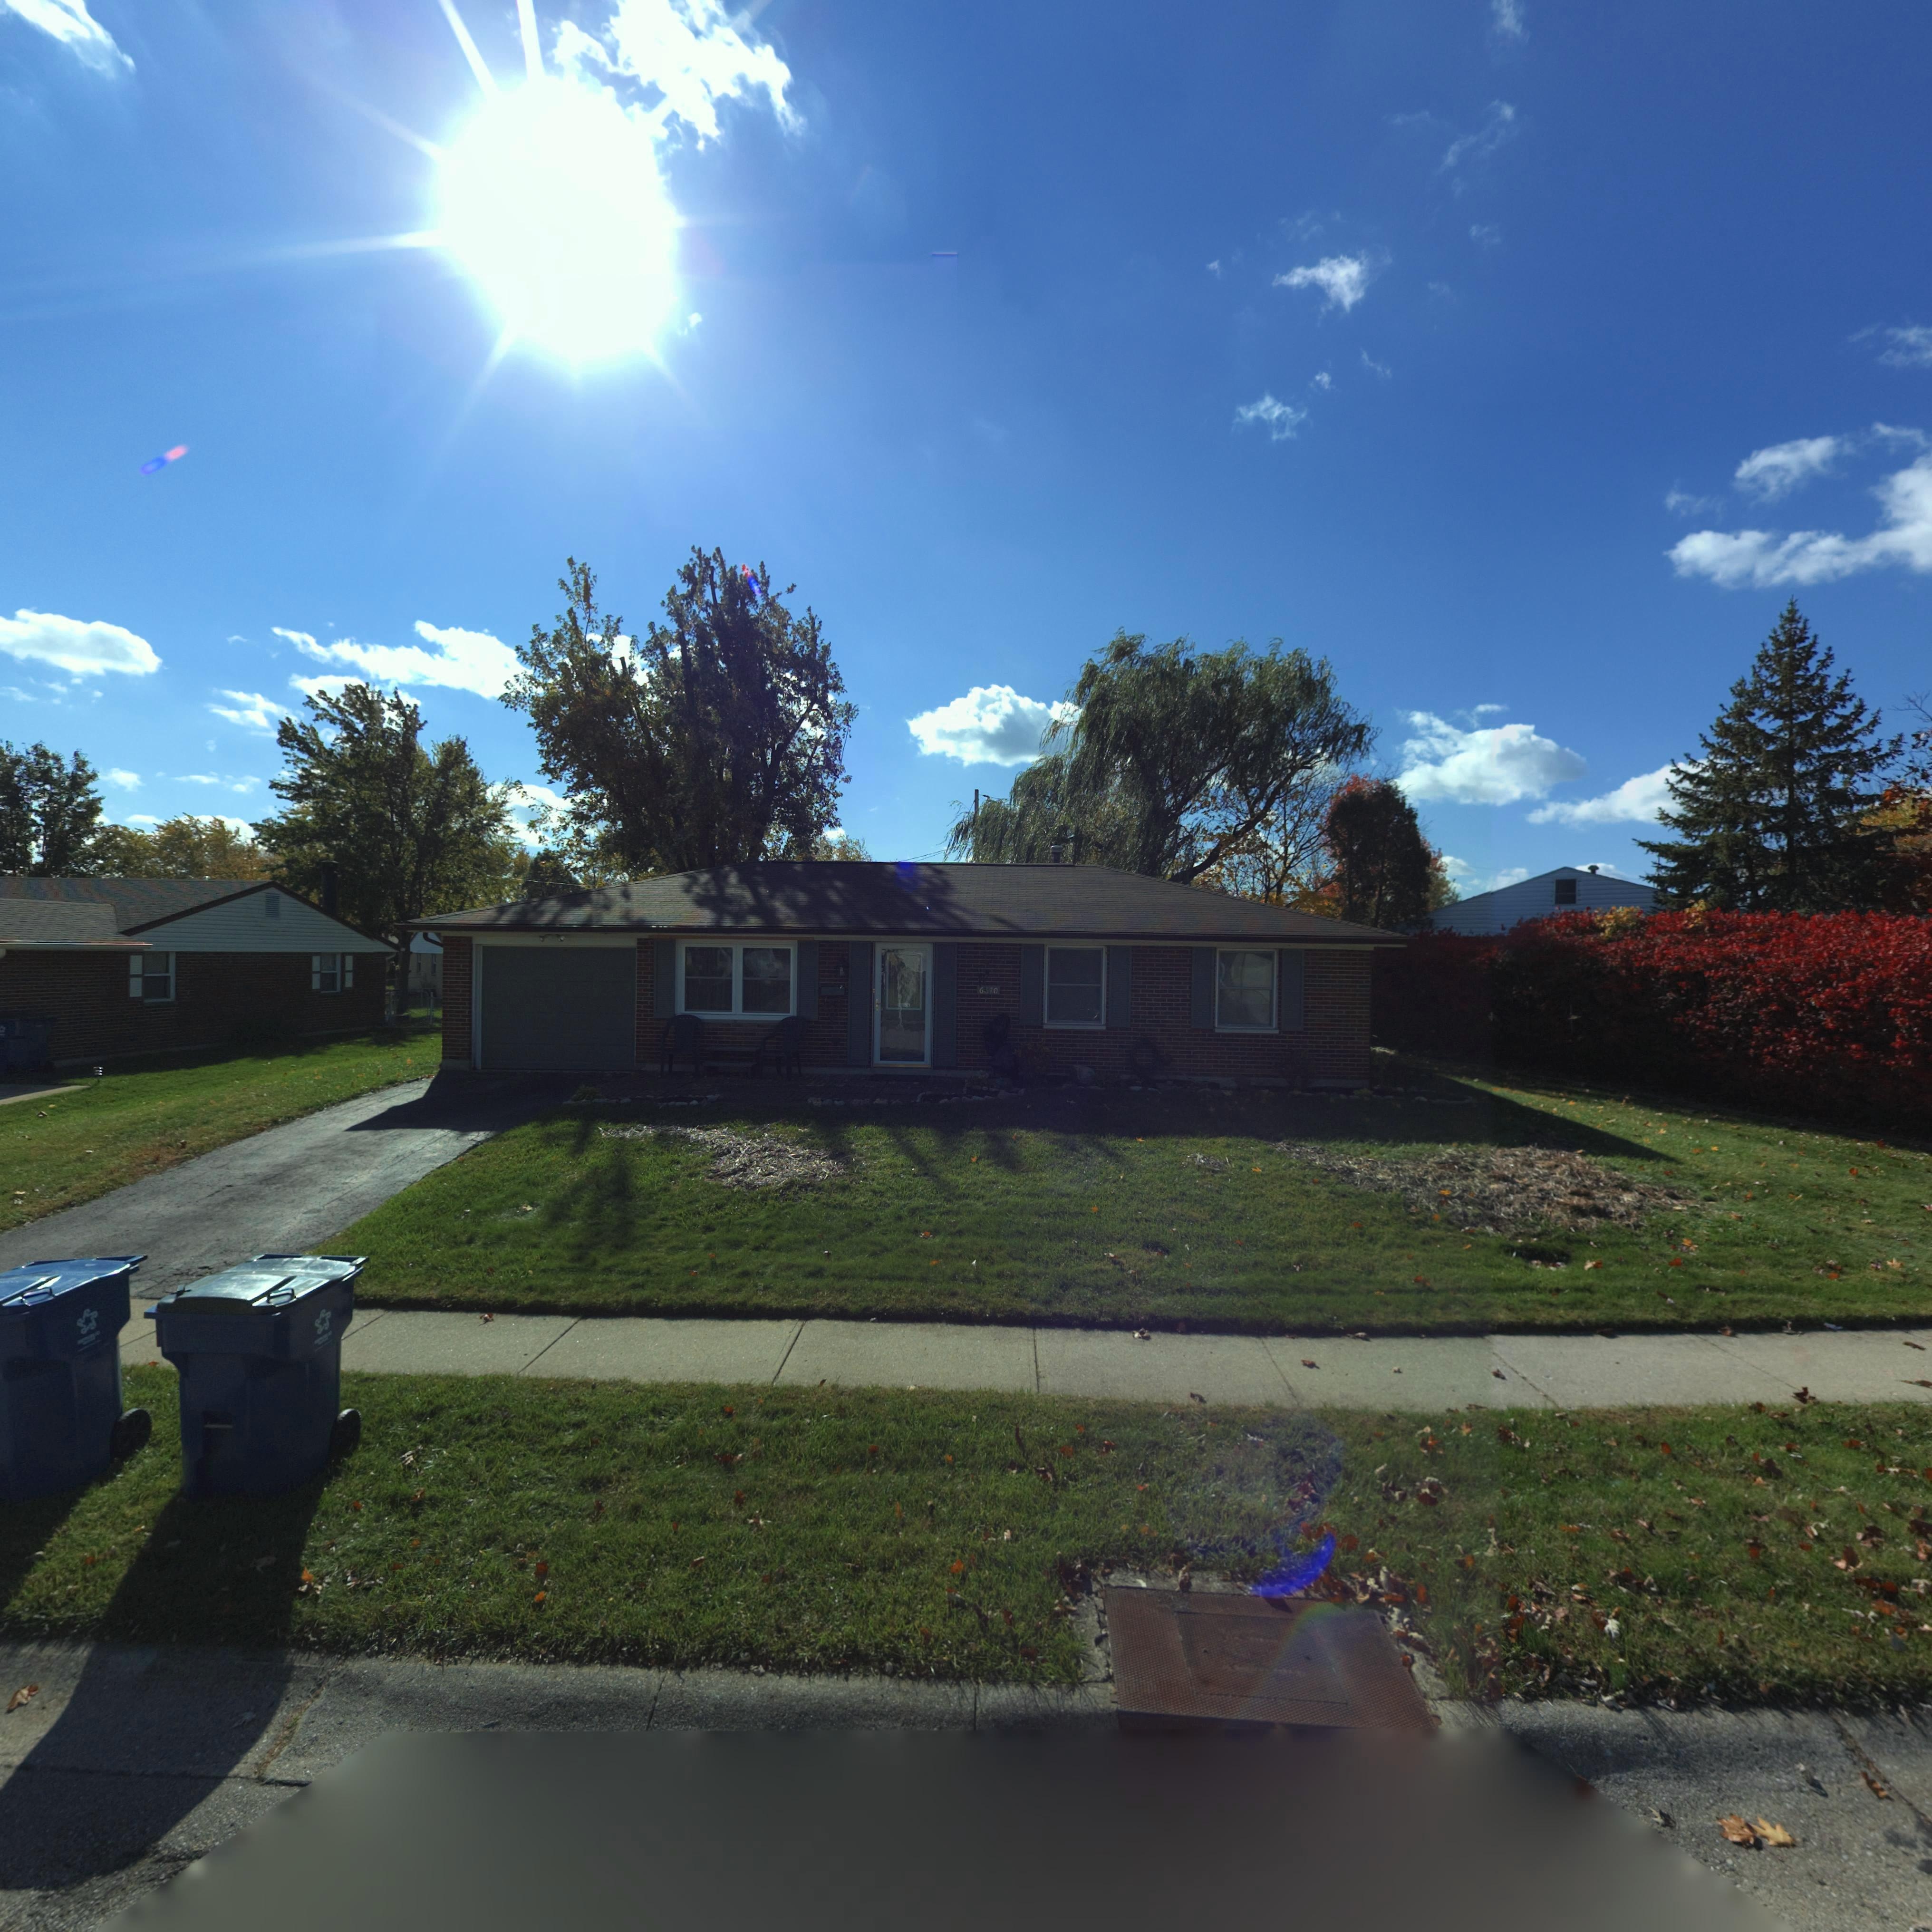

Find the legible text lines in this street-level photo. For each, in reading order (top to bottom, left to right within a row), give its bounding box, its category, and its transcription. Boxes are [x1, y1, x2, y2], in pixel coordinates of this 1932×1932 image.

[978, 986, 999, 995] StreetNumber: 6*70